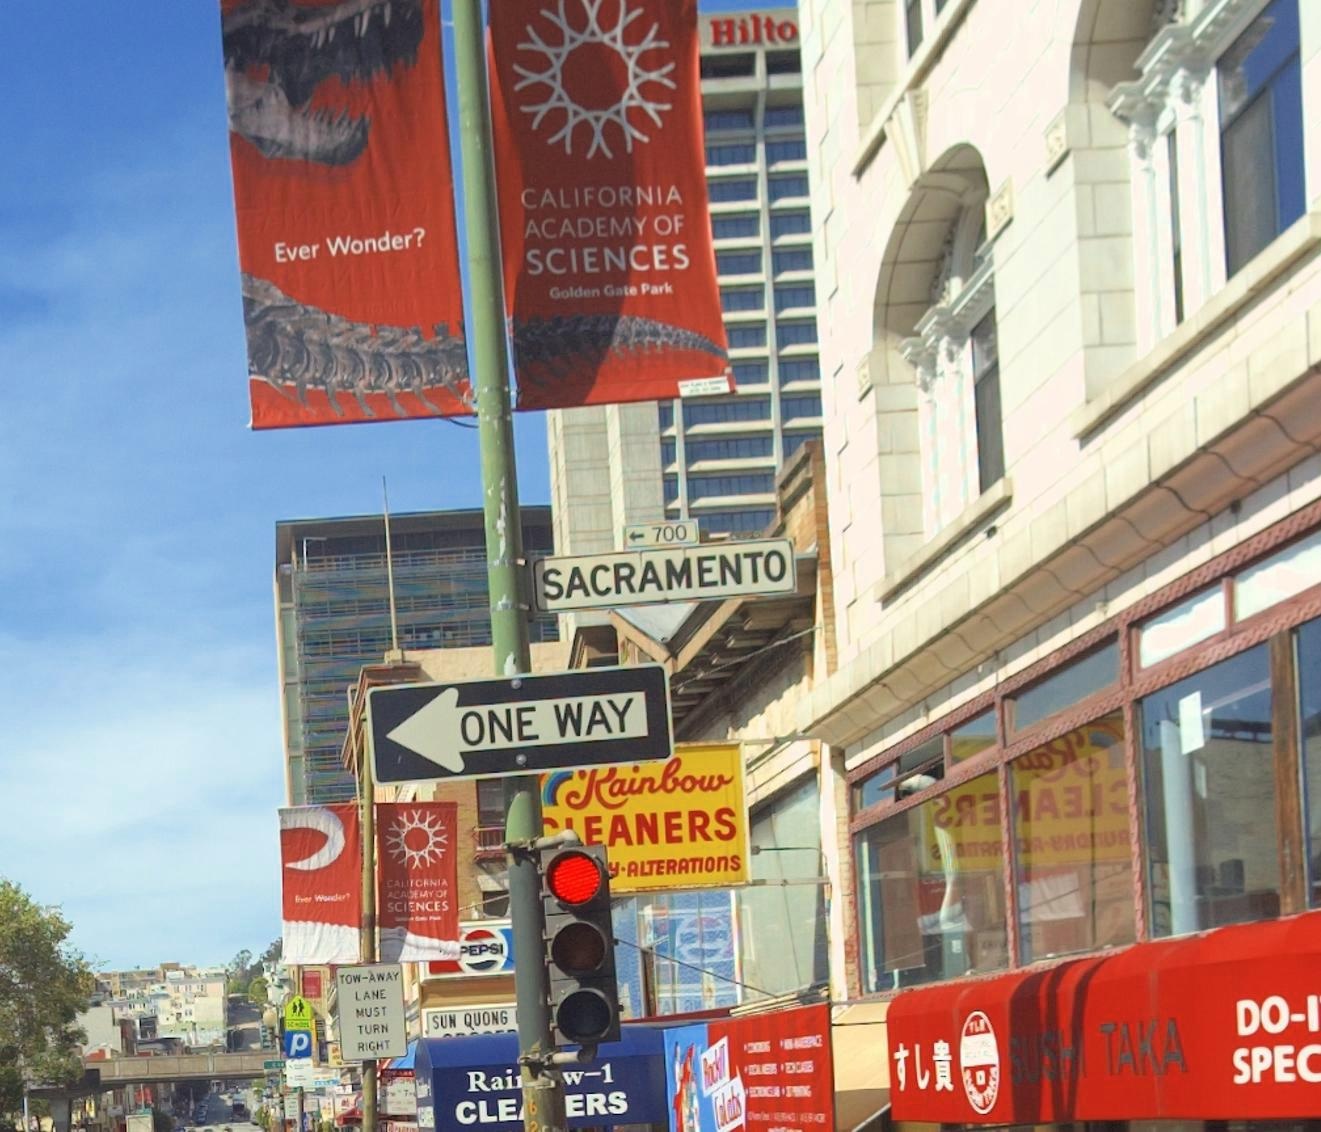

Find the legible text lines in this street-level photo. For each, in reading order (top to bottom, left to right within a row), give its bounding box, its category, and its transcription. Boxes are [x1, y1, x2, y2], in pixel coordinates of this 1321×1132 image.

[706, 11, 800, 51] BusinessName: Hilto
[517, 181, 687, 213] None: CALIFORNIA
[520, 211, 688, 244] None: ACADEMY OF
[272, 227, 416, 266] None: Ever Wonder
[524, 241, 692, 279] None: SCIENCES
[546, 278, 677, 302] None: Golden Gate Park
[626, 522, 691, 546] StreetNumberRange: <-700
[540, 546, 790, 603] StreetName: SACRAMENTO
[457, 693, 637, 750] None: ONE WAY
[606, 754, 737, 801] BusinessName: ainbow
[929, 779, 1106, 831] None: ****A**
[605, 804, 739, 849] BusinessName: ANERS
[926, 824, 1135, 864] None: ****TA***** * *A**U*
[624, 852, 744, 880] None: ALTERATIONS
[385, 887, 450, 902] None: ACA**MY OF
[384, 875, 452, 892] None: CALIFORNIA
[385, 898, 452, 916] None: SCIENCES
[467, 940, 506, 958] None: EPSI
[337, 968, 401, 987] None: TOW-AWAY
[353, 986, 390, 1004] None: LANE
[287, 1030, 311, 1059] None: P
[354, 1003, 389, 1021] None: MUST
[353, 1021, 392, 1038] None: TURN
[355, 1037, 393, 1055] None: RIGHT
[430, 1008, 511, 1033] BusinessName: SUN QUONG
[464, 1059, 617, 1095] BusinessName: Rai***w-1
[1004, 1012, 1194, 1089] BusinessName: SUSHI TAKA
[1229, 1042, 1299, 1089] None: SPE
[1233, 992, 1321, 1040] None: DO-I
[527, 1096, 541, 1118] None: 6
[454, 1088, 631, 1127] BusinessName: CLE**ERS